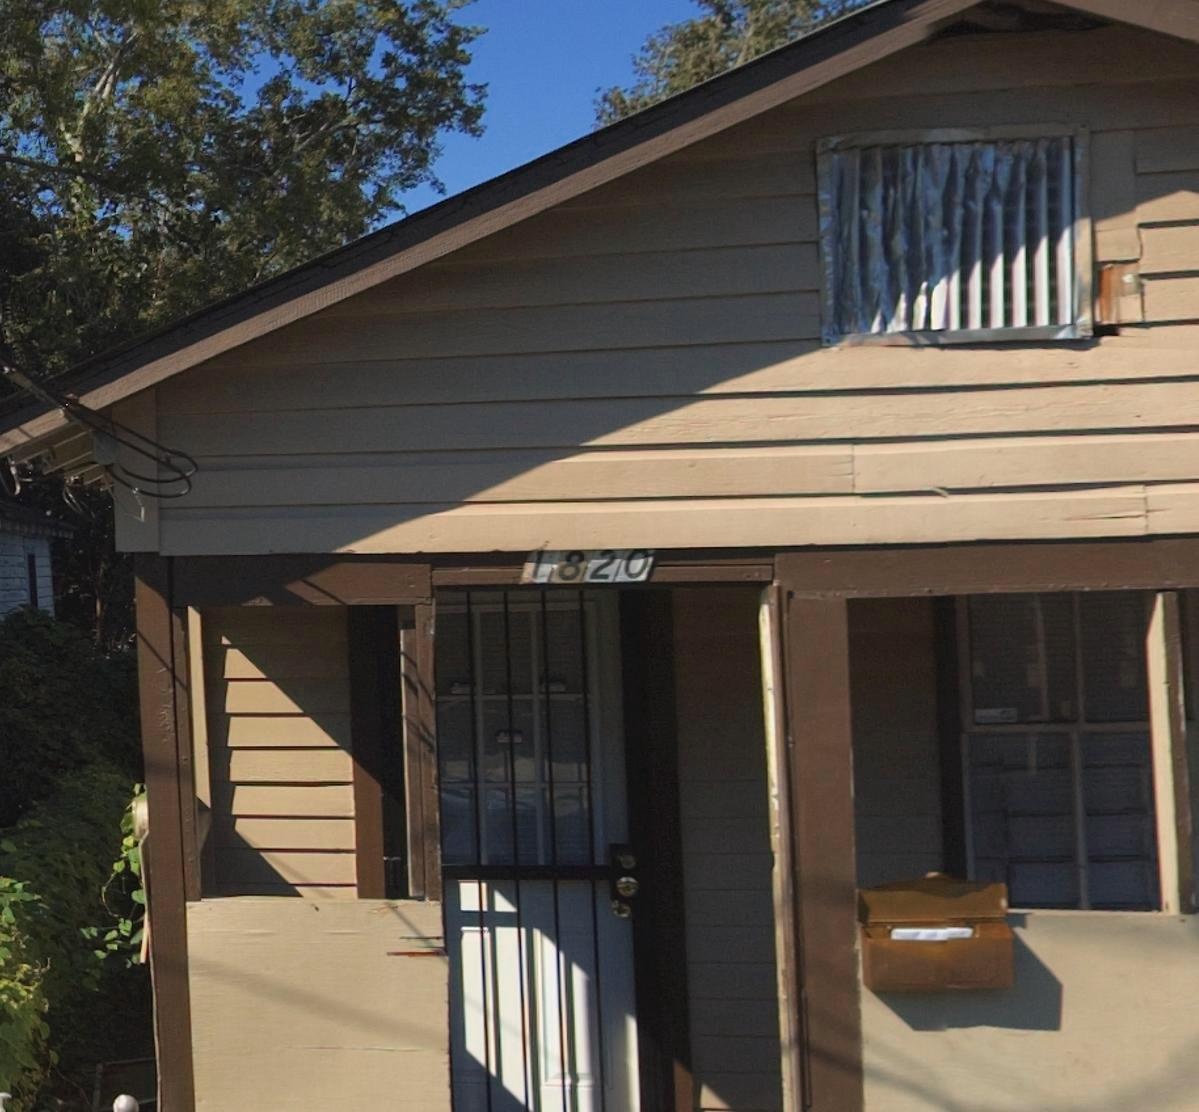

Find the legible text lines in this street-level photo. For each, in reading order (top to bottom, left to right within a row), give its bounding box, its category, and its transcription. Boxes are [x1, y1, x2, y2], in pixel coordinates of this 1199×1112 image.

[525, 547, 656, 583] StreetNumber: 1820